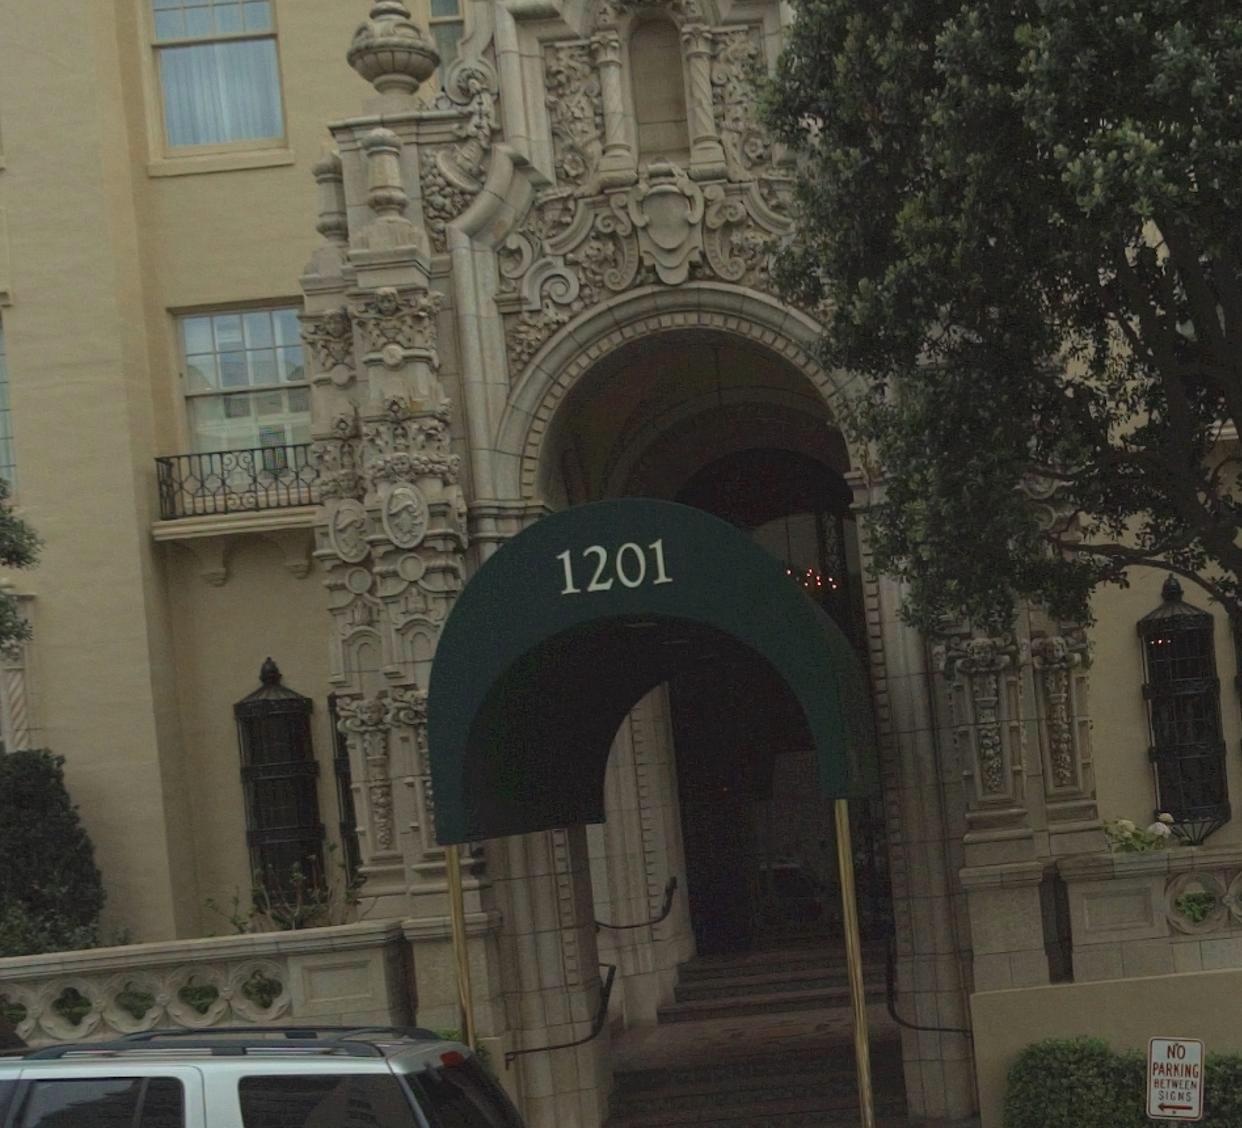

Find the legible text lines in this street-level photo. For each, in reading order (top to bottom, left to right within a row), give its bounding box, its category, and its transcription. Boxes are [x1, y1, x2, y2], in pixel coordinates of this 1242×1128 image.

[554, 534, 676, 598] StreetNumber: 1201
[1164, 1042, 1188, 1061] None: NO
[1150, 1060, 1199, 1079] None: PARKING
[1152, 1076, 1199, 1091] None: BETWEEN
[1156, 1088, 1194, 1103] None: SIGNS